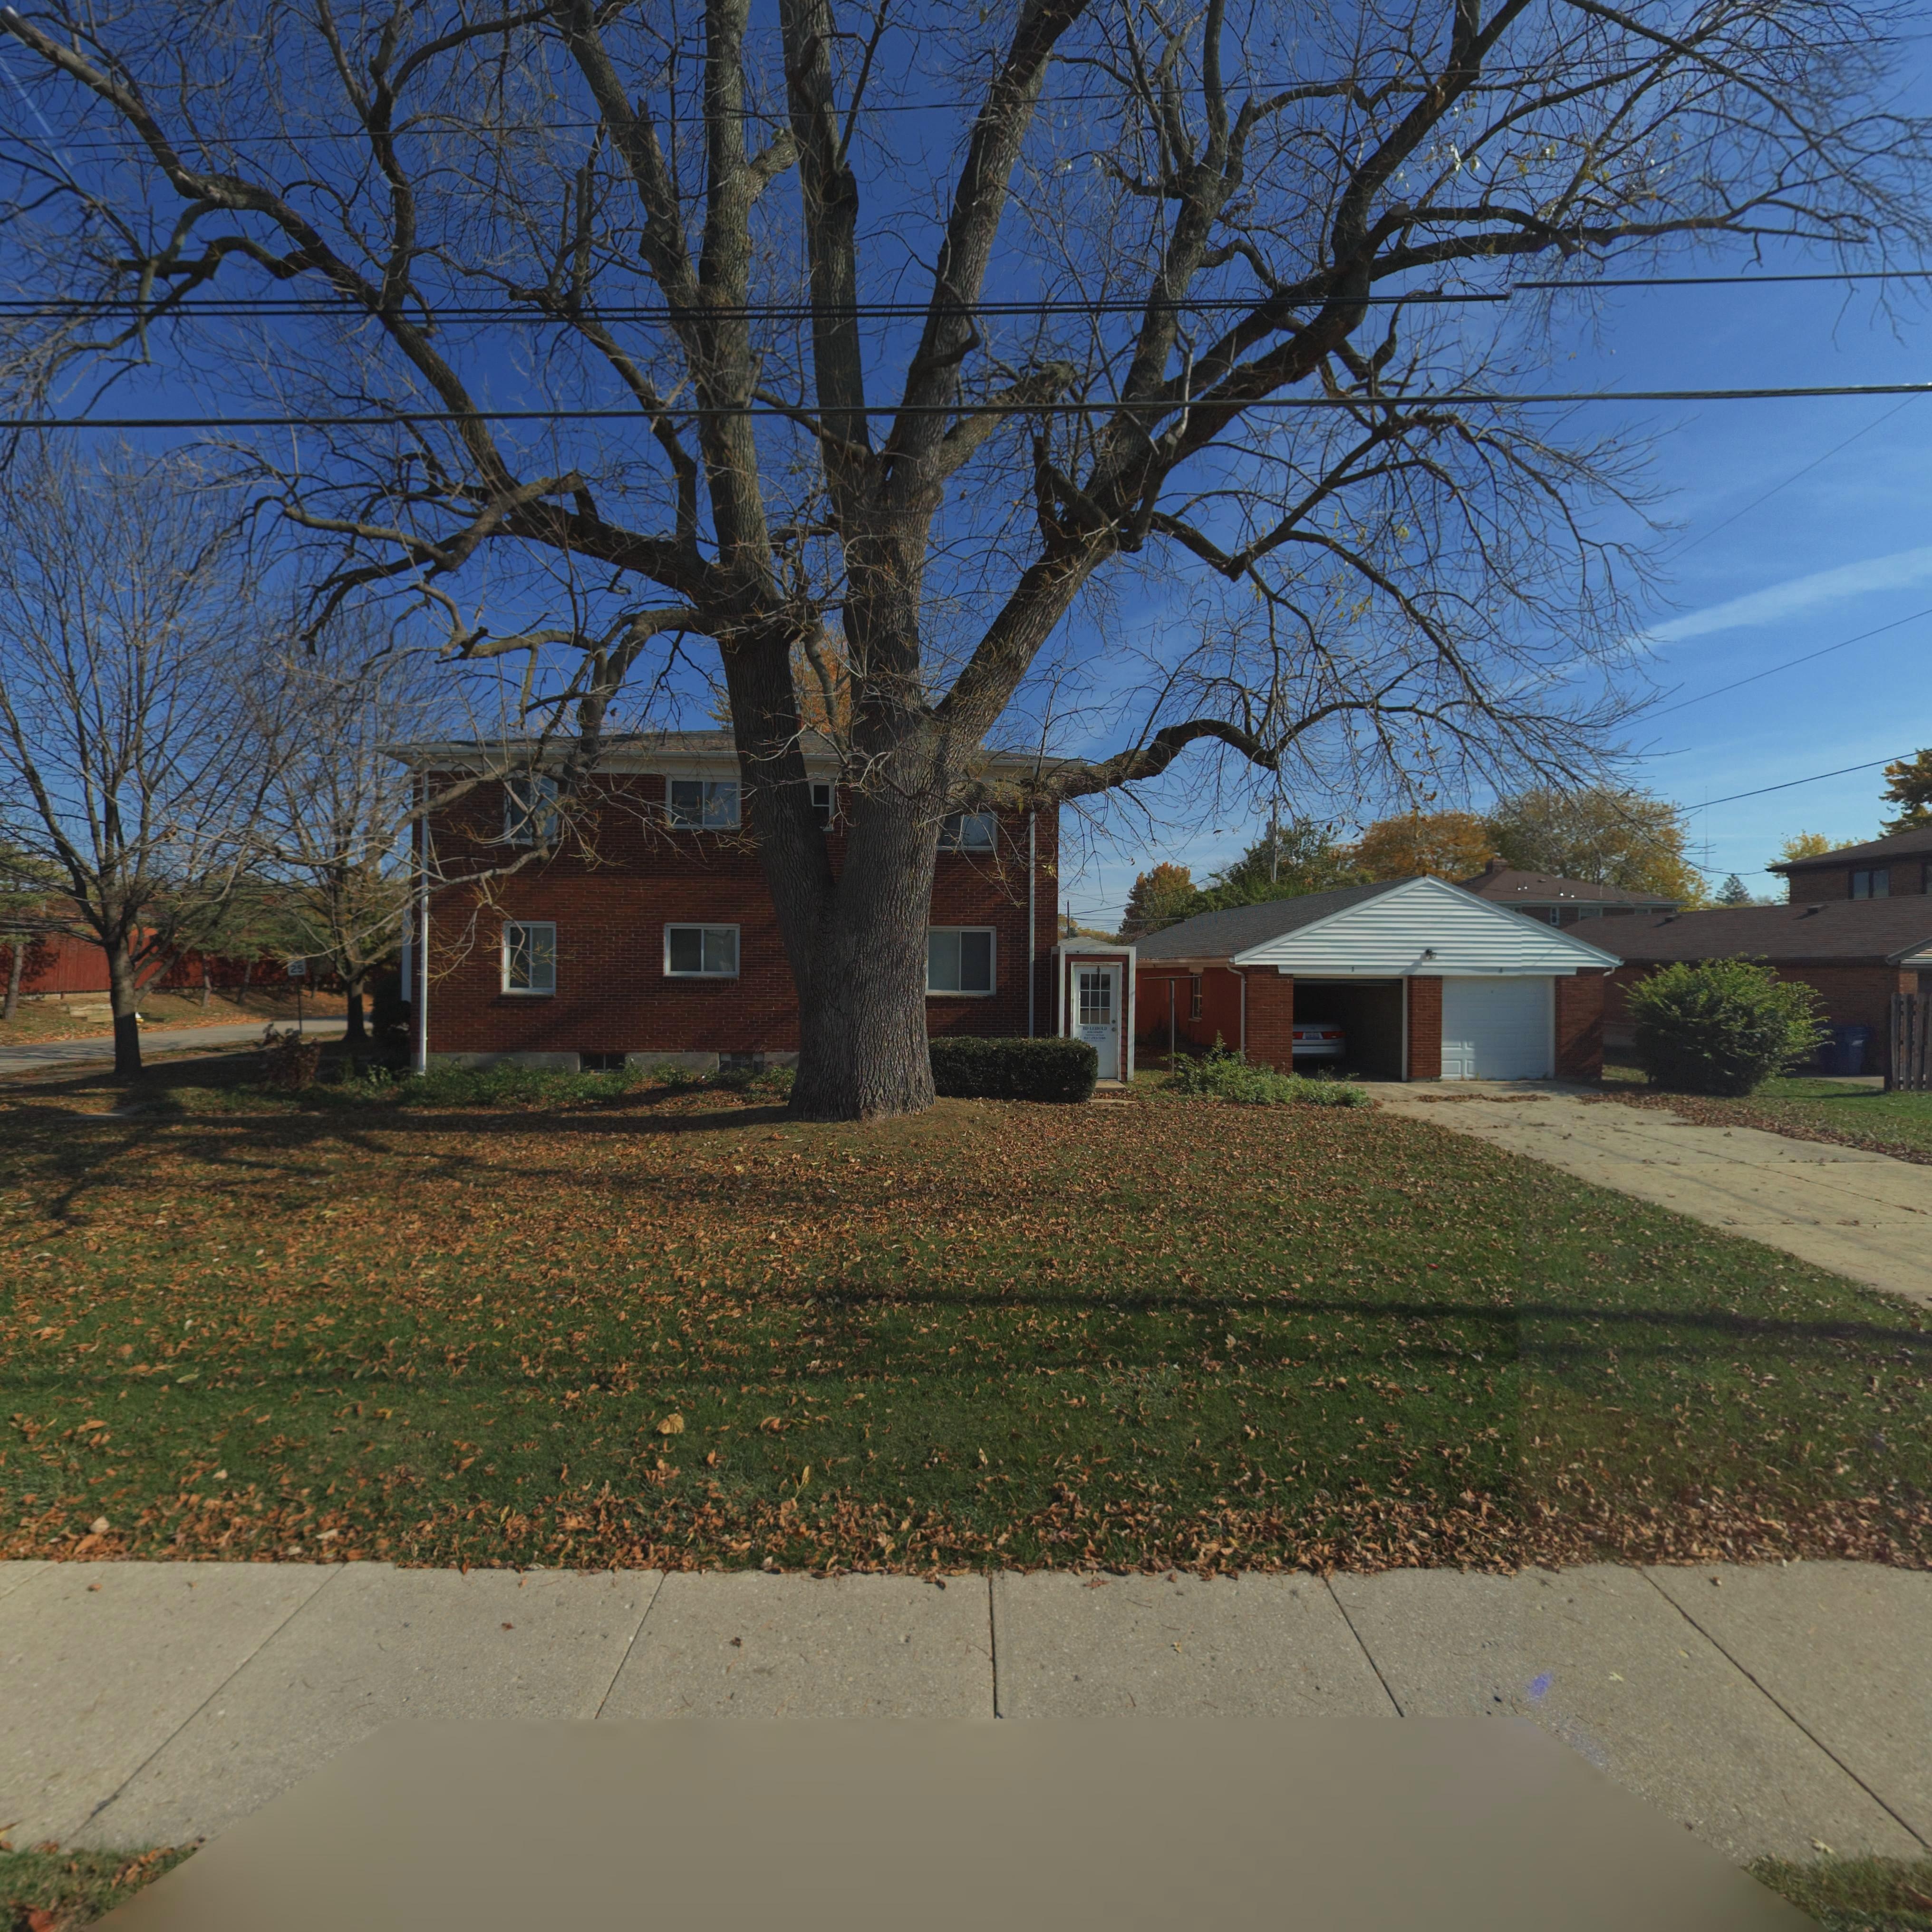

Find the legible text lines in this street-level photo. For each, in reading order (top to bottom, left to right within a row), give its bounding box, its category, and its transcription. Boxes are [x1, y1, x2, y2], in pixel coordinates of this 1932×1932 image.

[290, 964, 304, 974] None: 25
[1351, 966, 1354, 973] StreetNumber: 1
[1498, 967, 1503, 973] StreetNumber: 4
[1083, 1026, 1107, 1031] None: BO LE**OLD